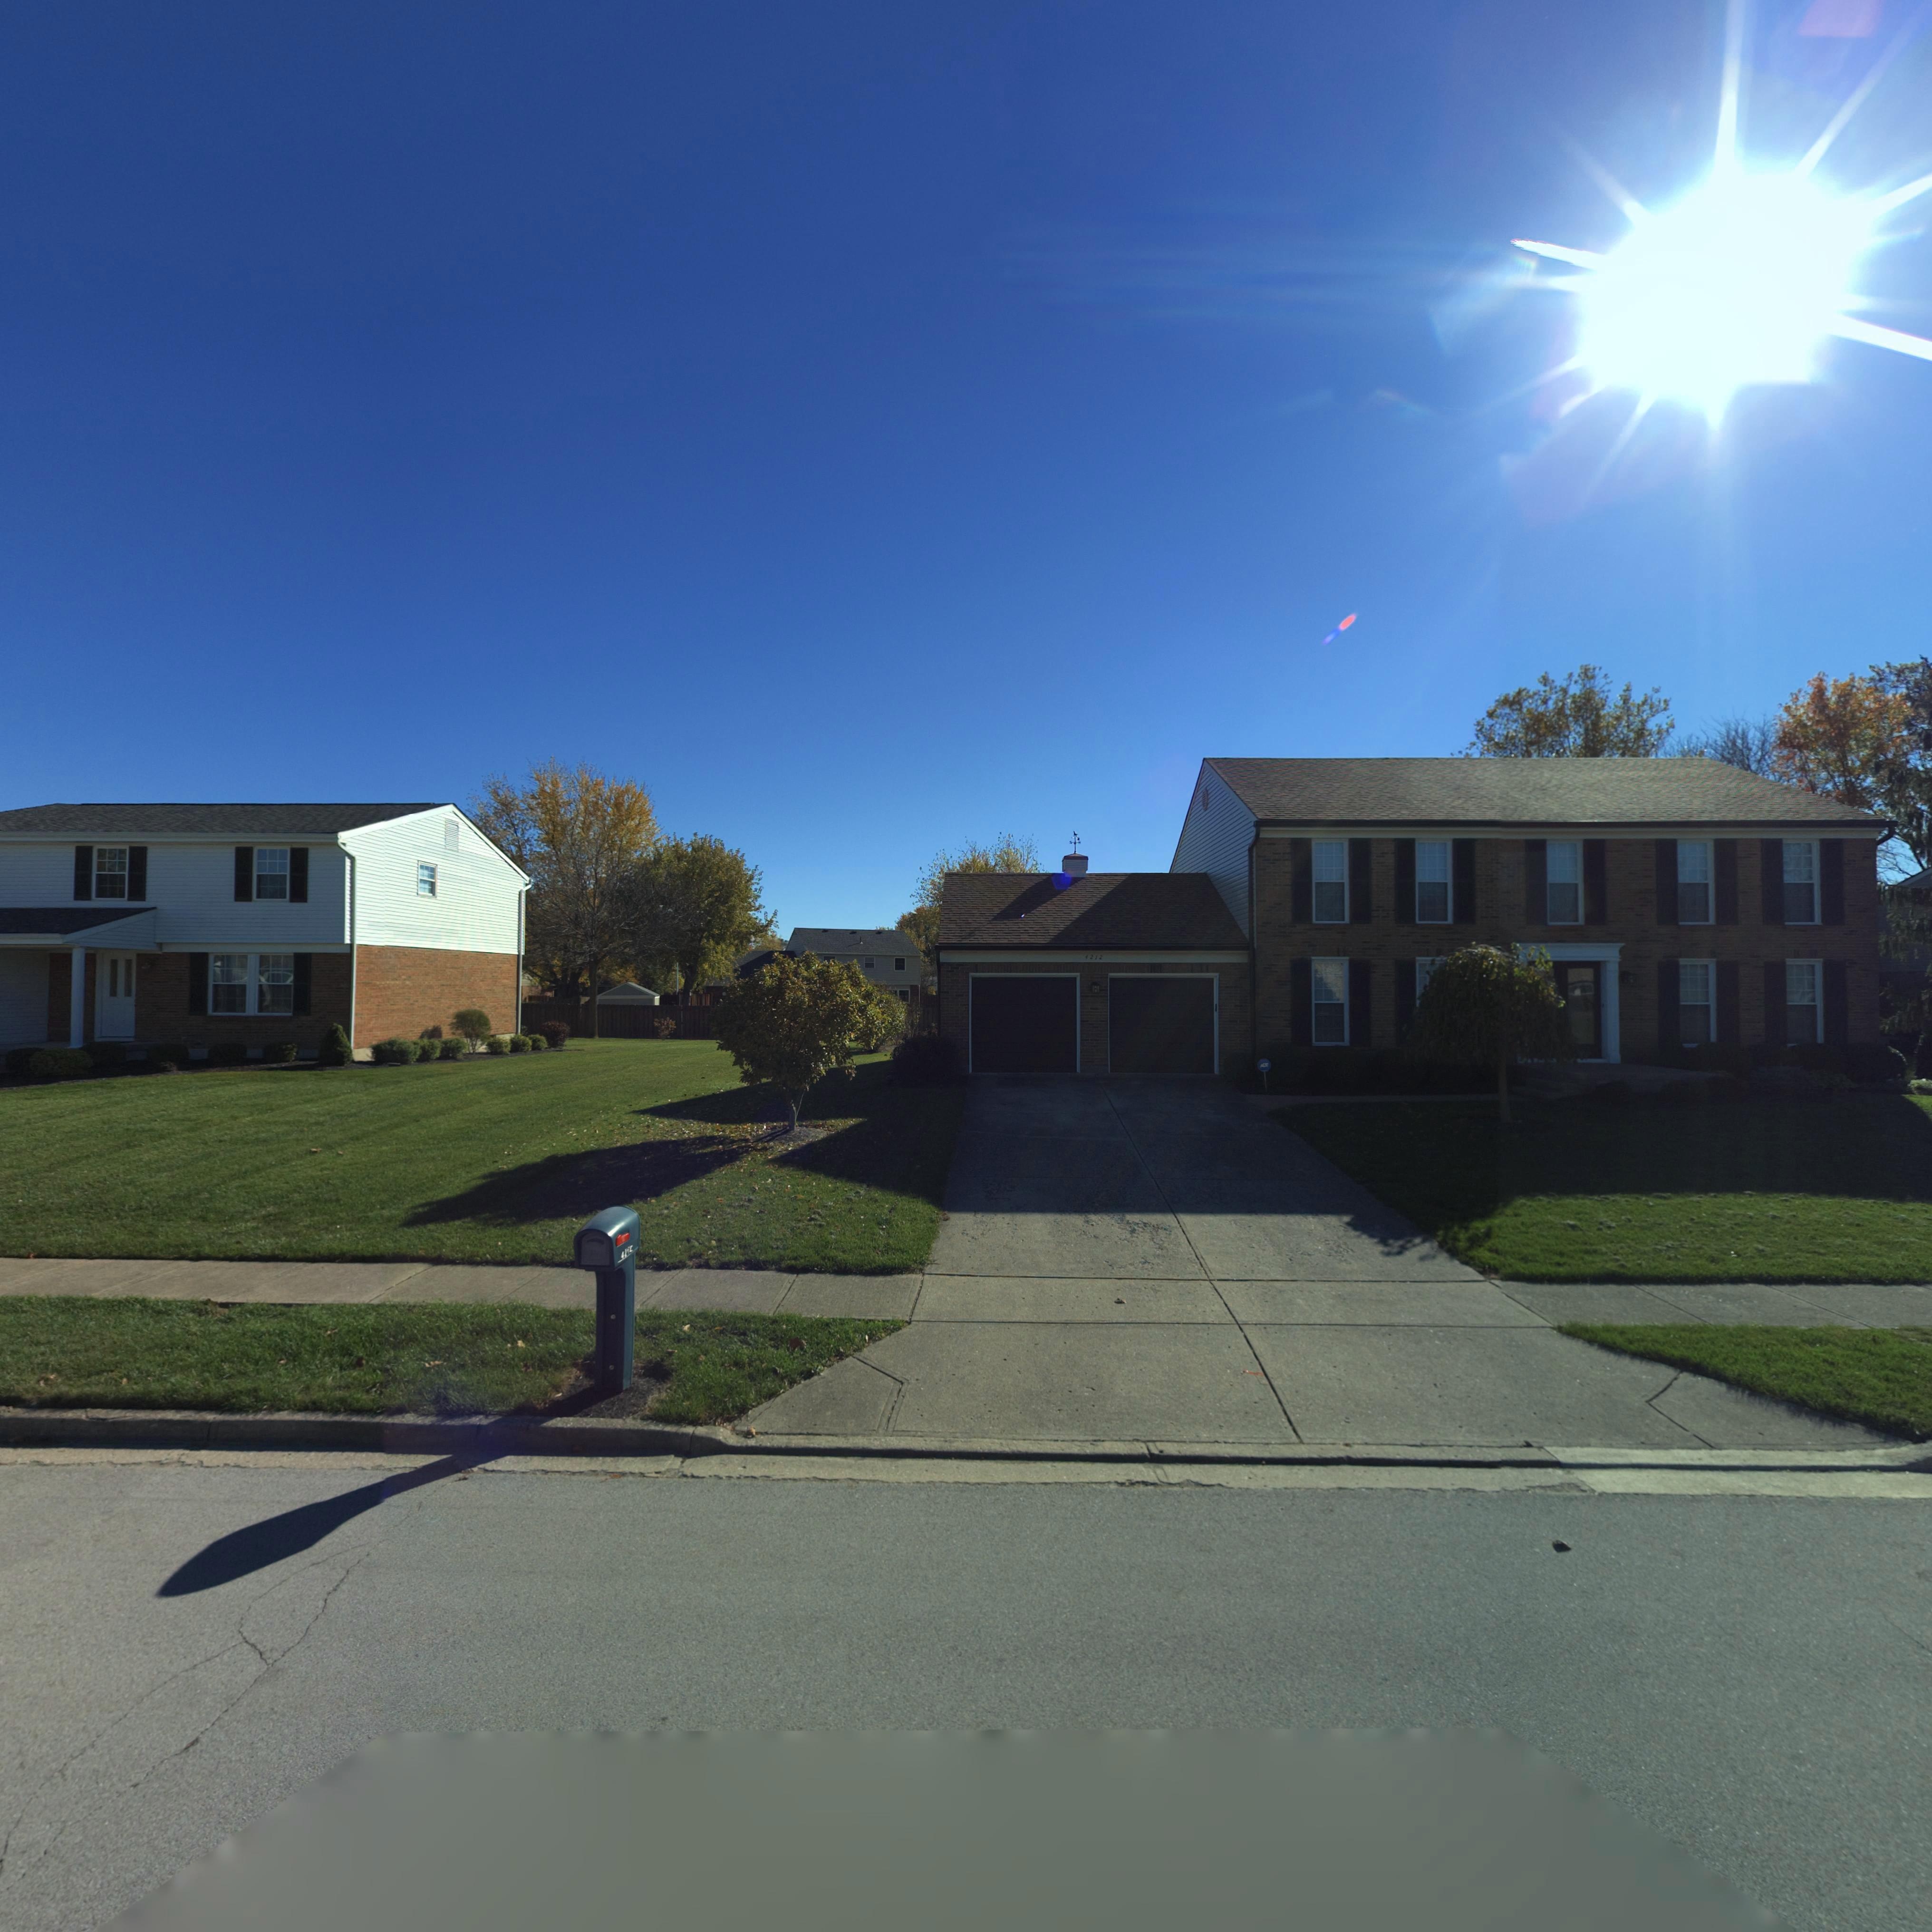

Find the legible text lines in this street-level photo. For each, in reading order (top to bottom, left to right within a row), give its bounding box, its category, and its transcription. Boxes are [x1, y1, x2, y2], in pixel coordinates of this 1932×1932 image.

[1083, 953, 1103, 961] StreetNumber: *212
[620, 1243, 635, 1261] StreetNumber: 4***